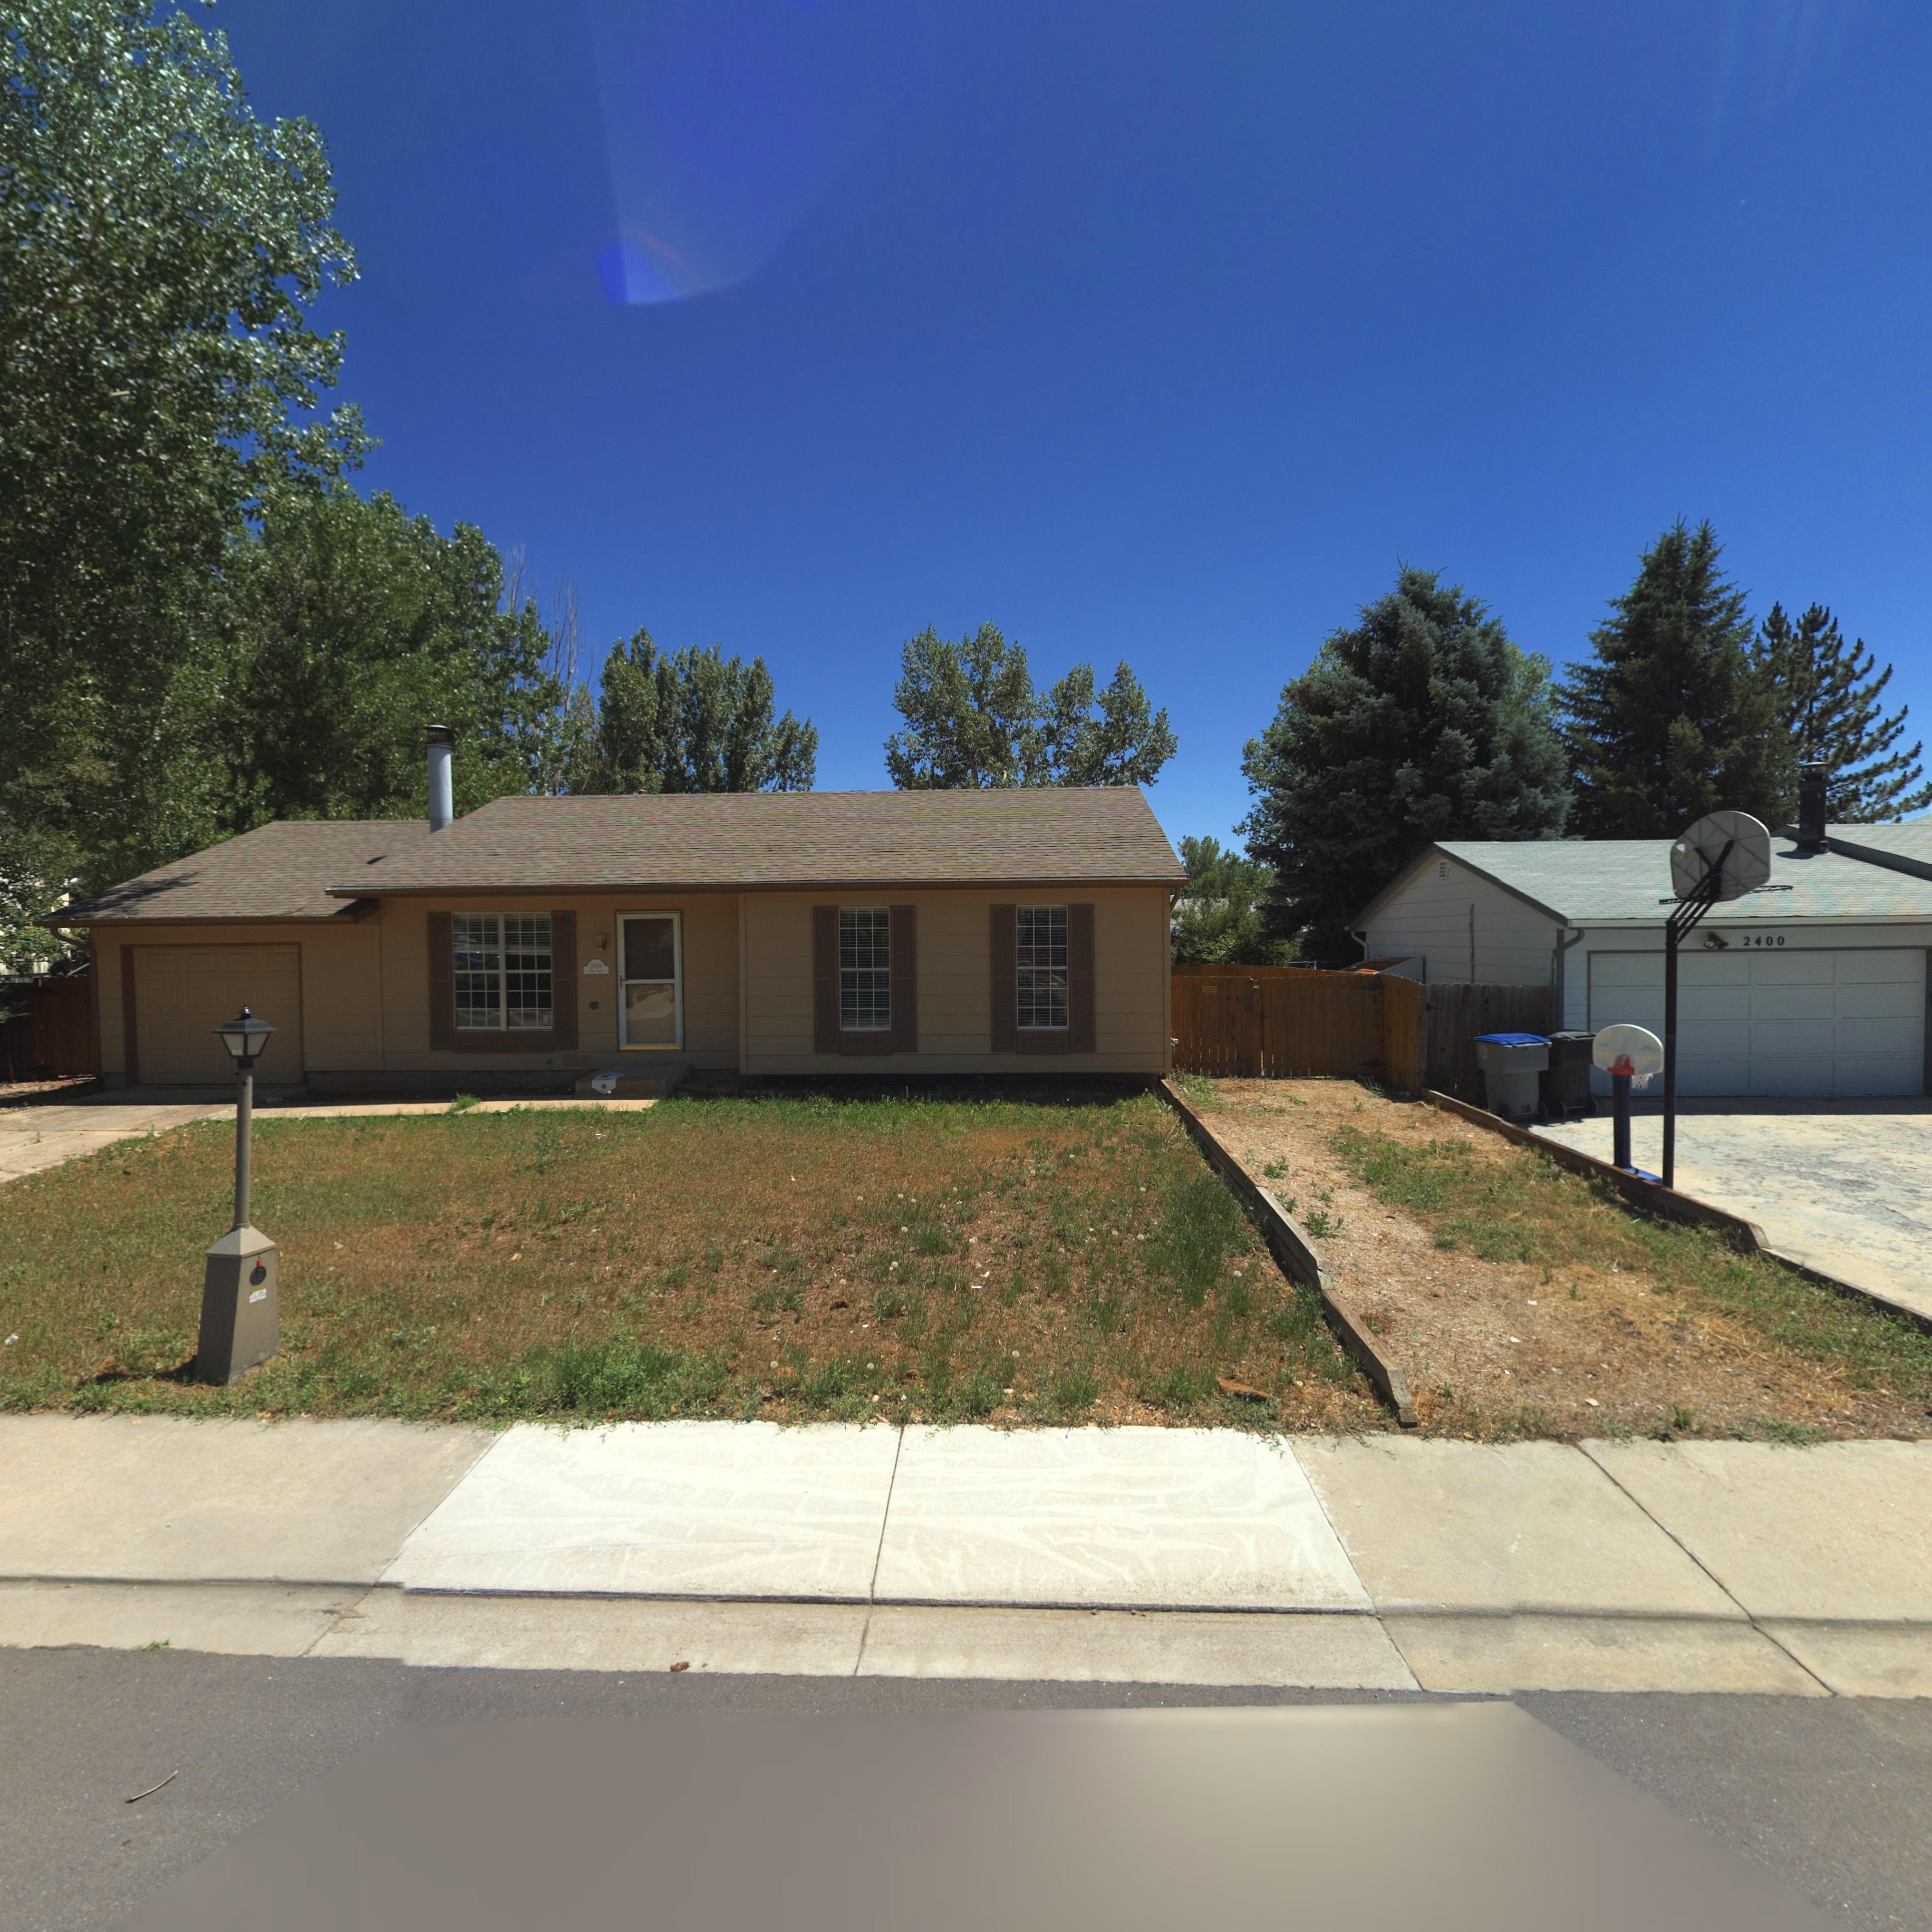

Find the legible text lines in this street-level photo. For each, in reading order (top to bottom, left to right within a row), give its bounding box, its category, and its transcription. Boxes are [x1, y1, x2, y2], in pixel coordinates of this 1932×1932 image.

[1742, 935, 1785, 946] StreetNumber: 2400
[589, 962, 602, 968] StreetNumber: 2406
[588, 968, 604, 973] StreetName: **** L***